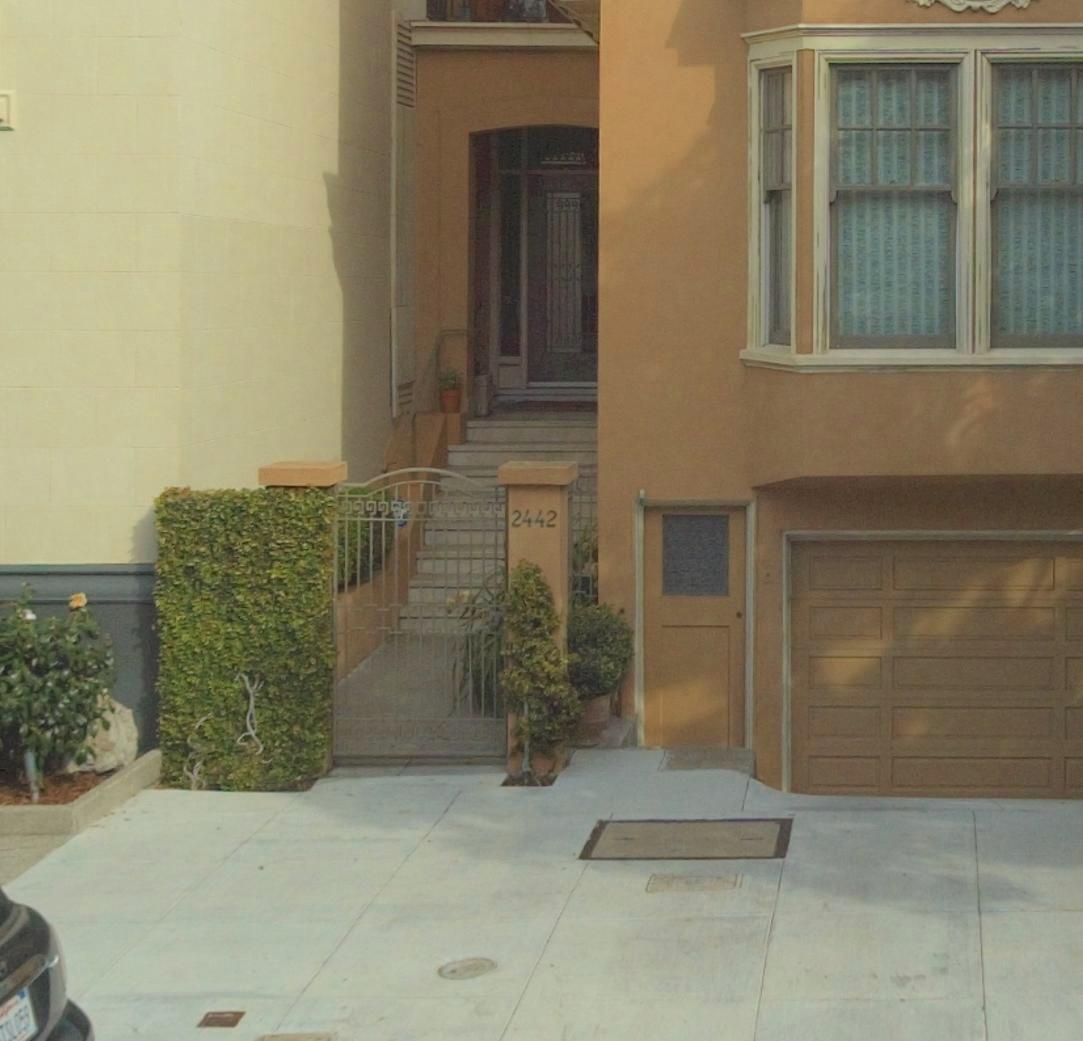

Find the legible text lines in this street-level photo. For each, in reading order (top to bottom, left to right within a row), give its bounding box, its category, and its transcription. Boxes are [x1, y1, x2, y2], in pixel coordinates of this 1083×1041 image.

[509, 507, 559, 530] StreetNumber: 2442